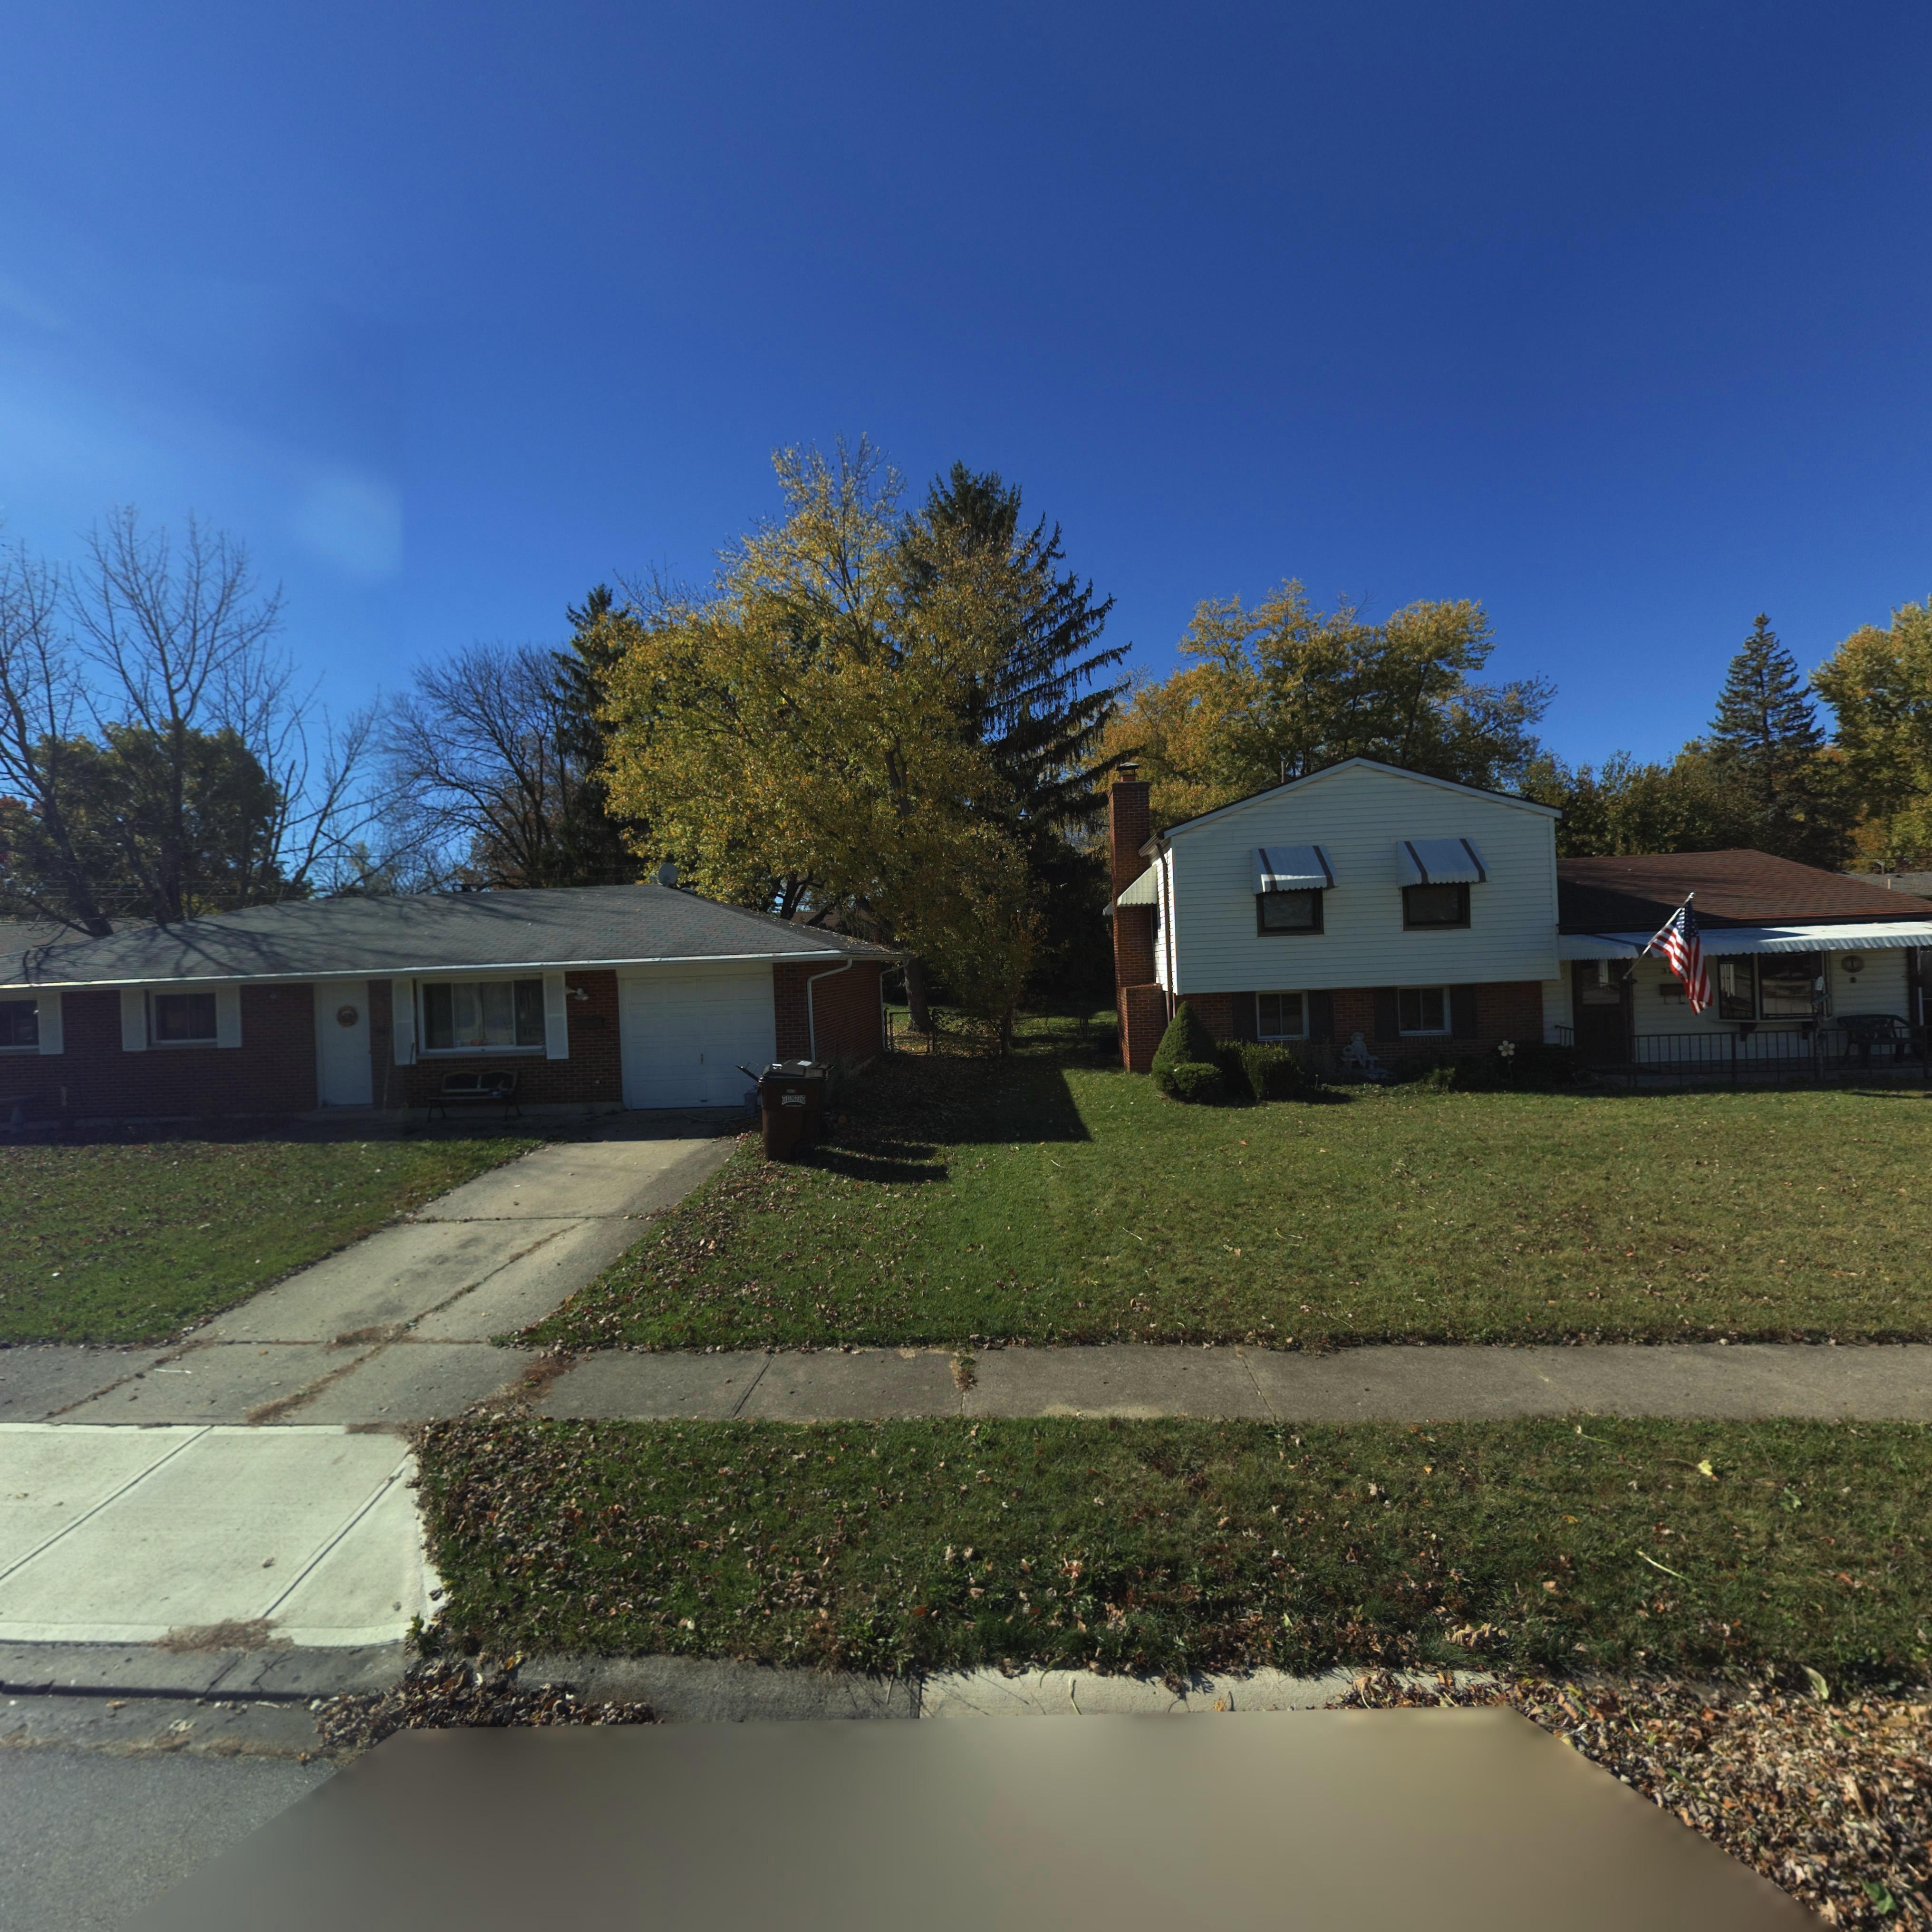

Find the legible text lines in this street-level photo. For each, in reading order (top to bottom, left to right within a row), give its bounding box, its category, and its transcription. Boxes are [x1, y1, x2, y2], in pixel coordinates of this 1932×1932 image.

[1660, 966, 1669, 976] StreetNumber: 3